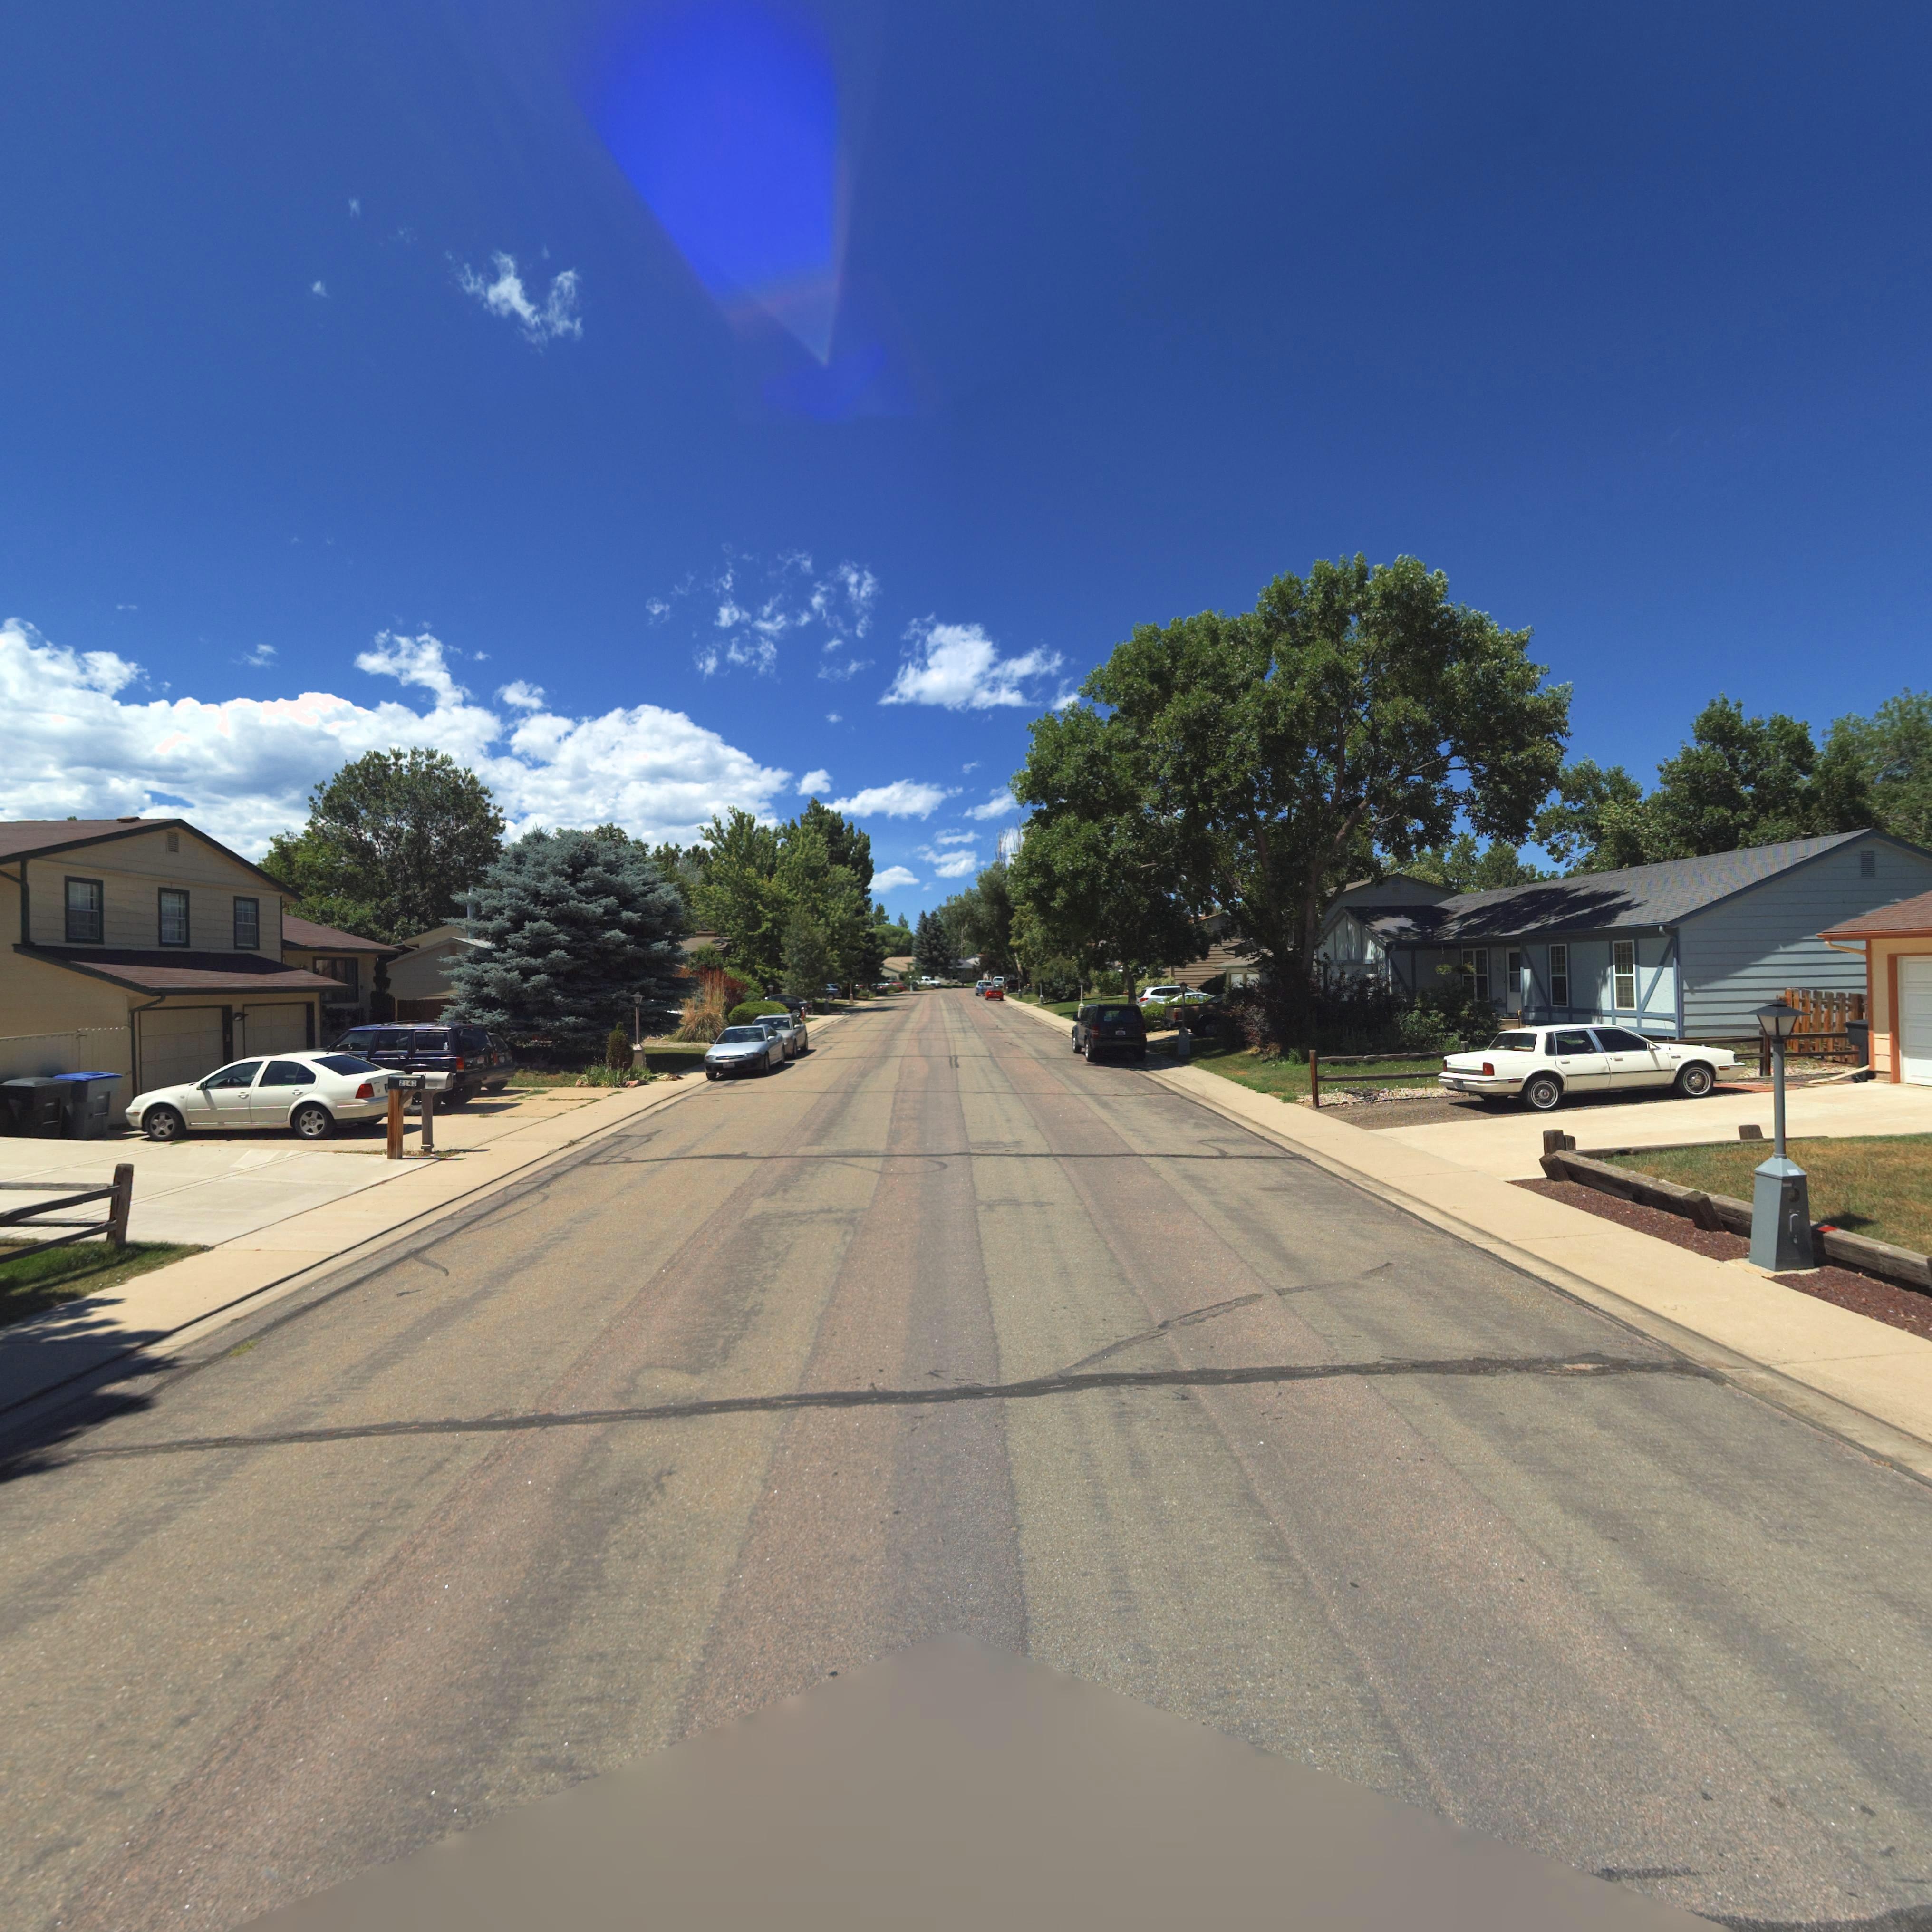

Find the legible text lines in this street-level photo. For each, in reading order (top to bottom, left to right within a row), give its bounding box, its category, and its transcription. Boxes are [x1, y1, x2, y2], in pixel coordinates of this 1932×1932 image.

[399, 1080, 417, 1086] StreetNumber: 2143